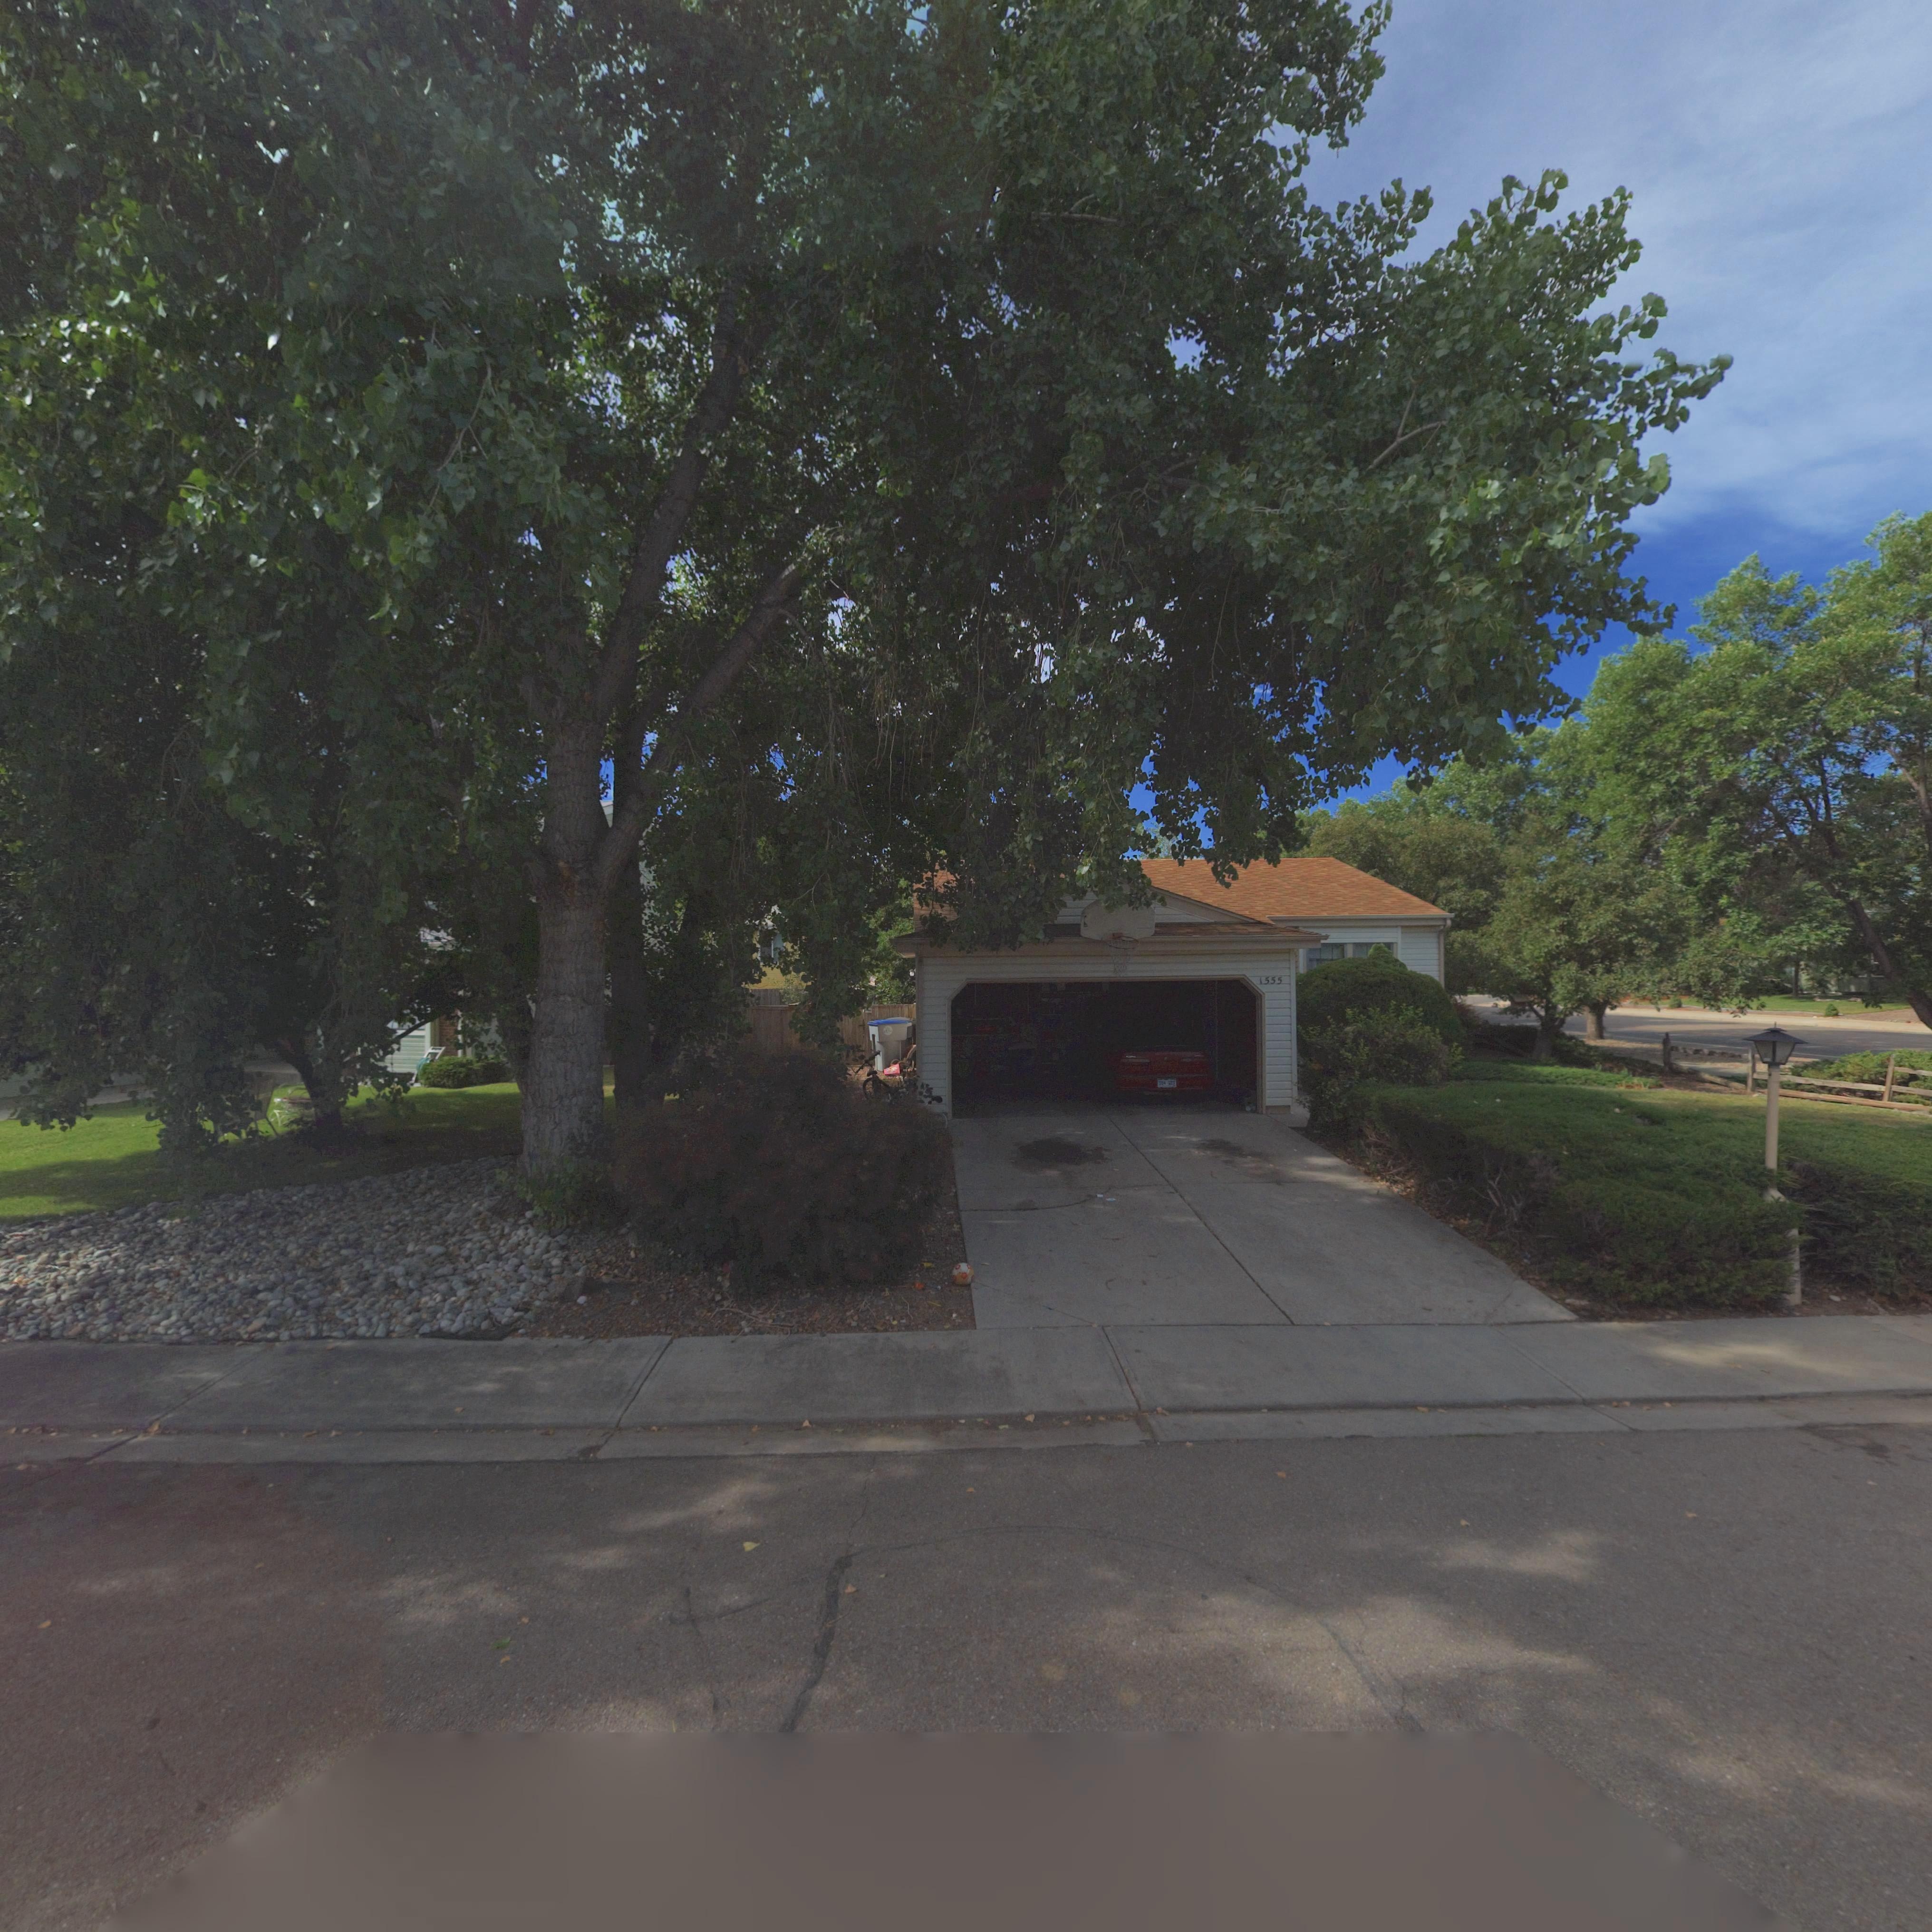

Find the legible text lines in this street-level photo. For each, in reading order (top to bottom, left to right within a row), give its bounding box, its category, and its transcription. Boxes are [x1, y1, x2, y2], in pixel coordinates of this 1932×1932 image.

[1259, 976, 1282, 985] StreetNumber: 1555